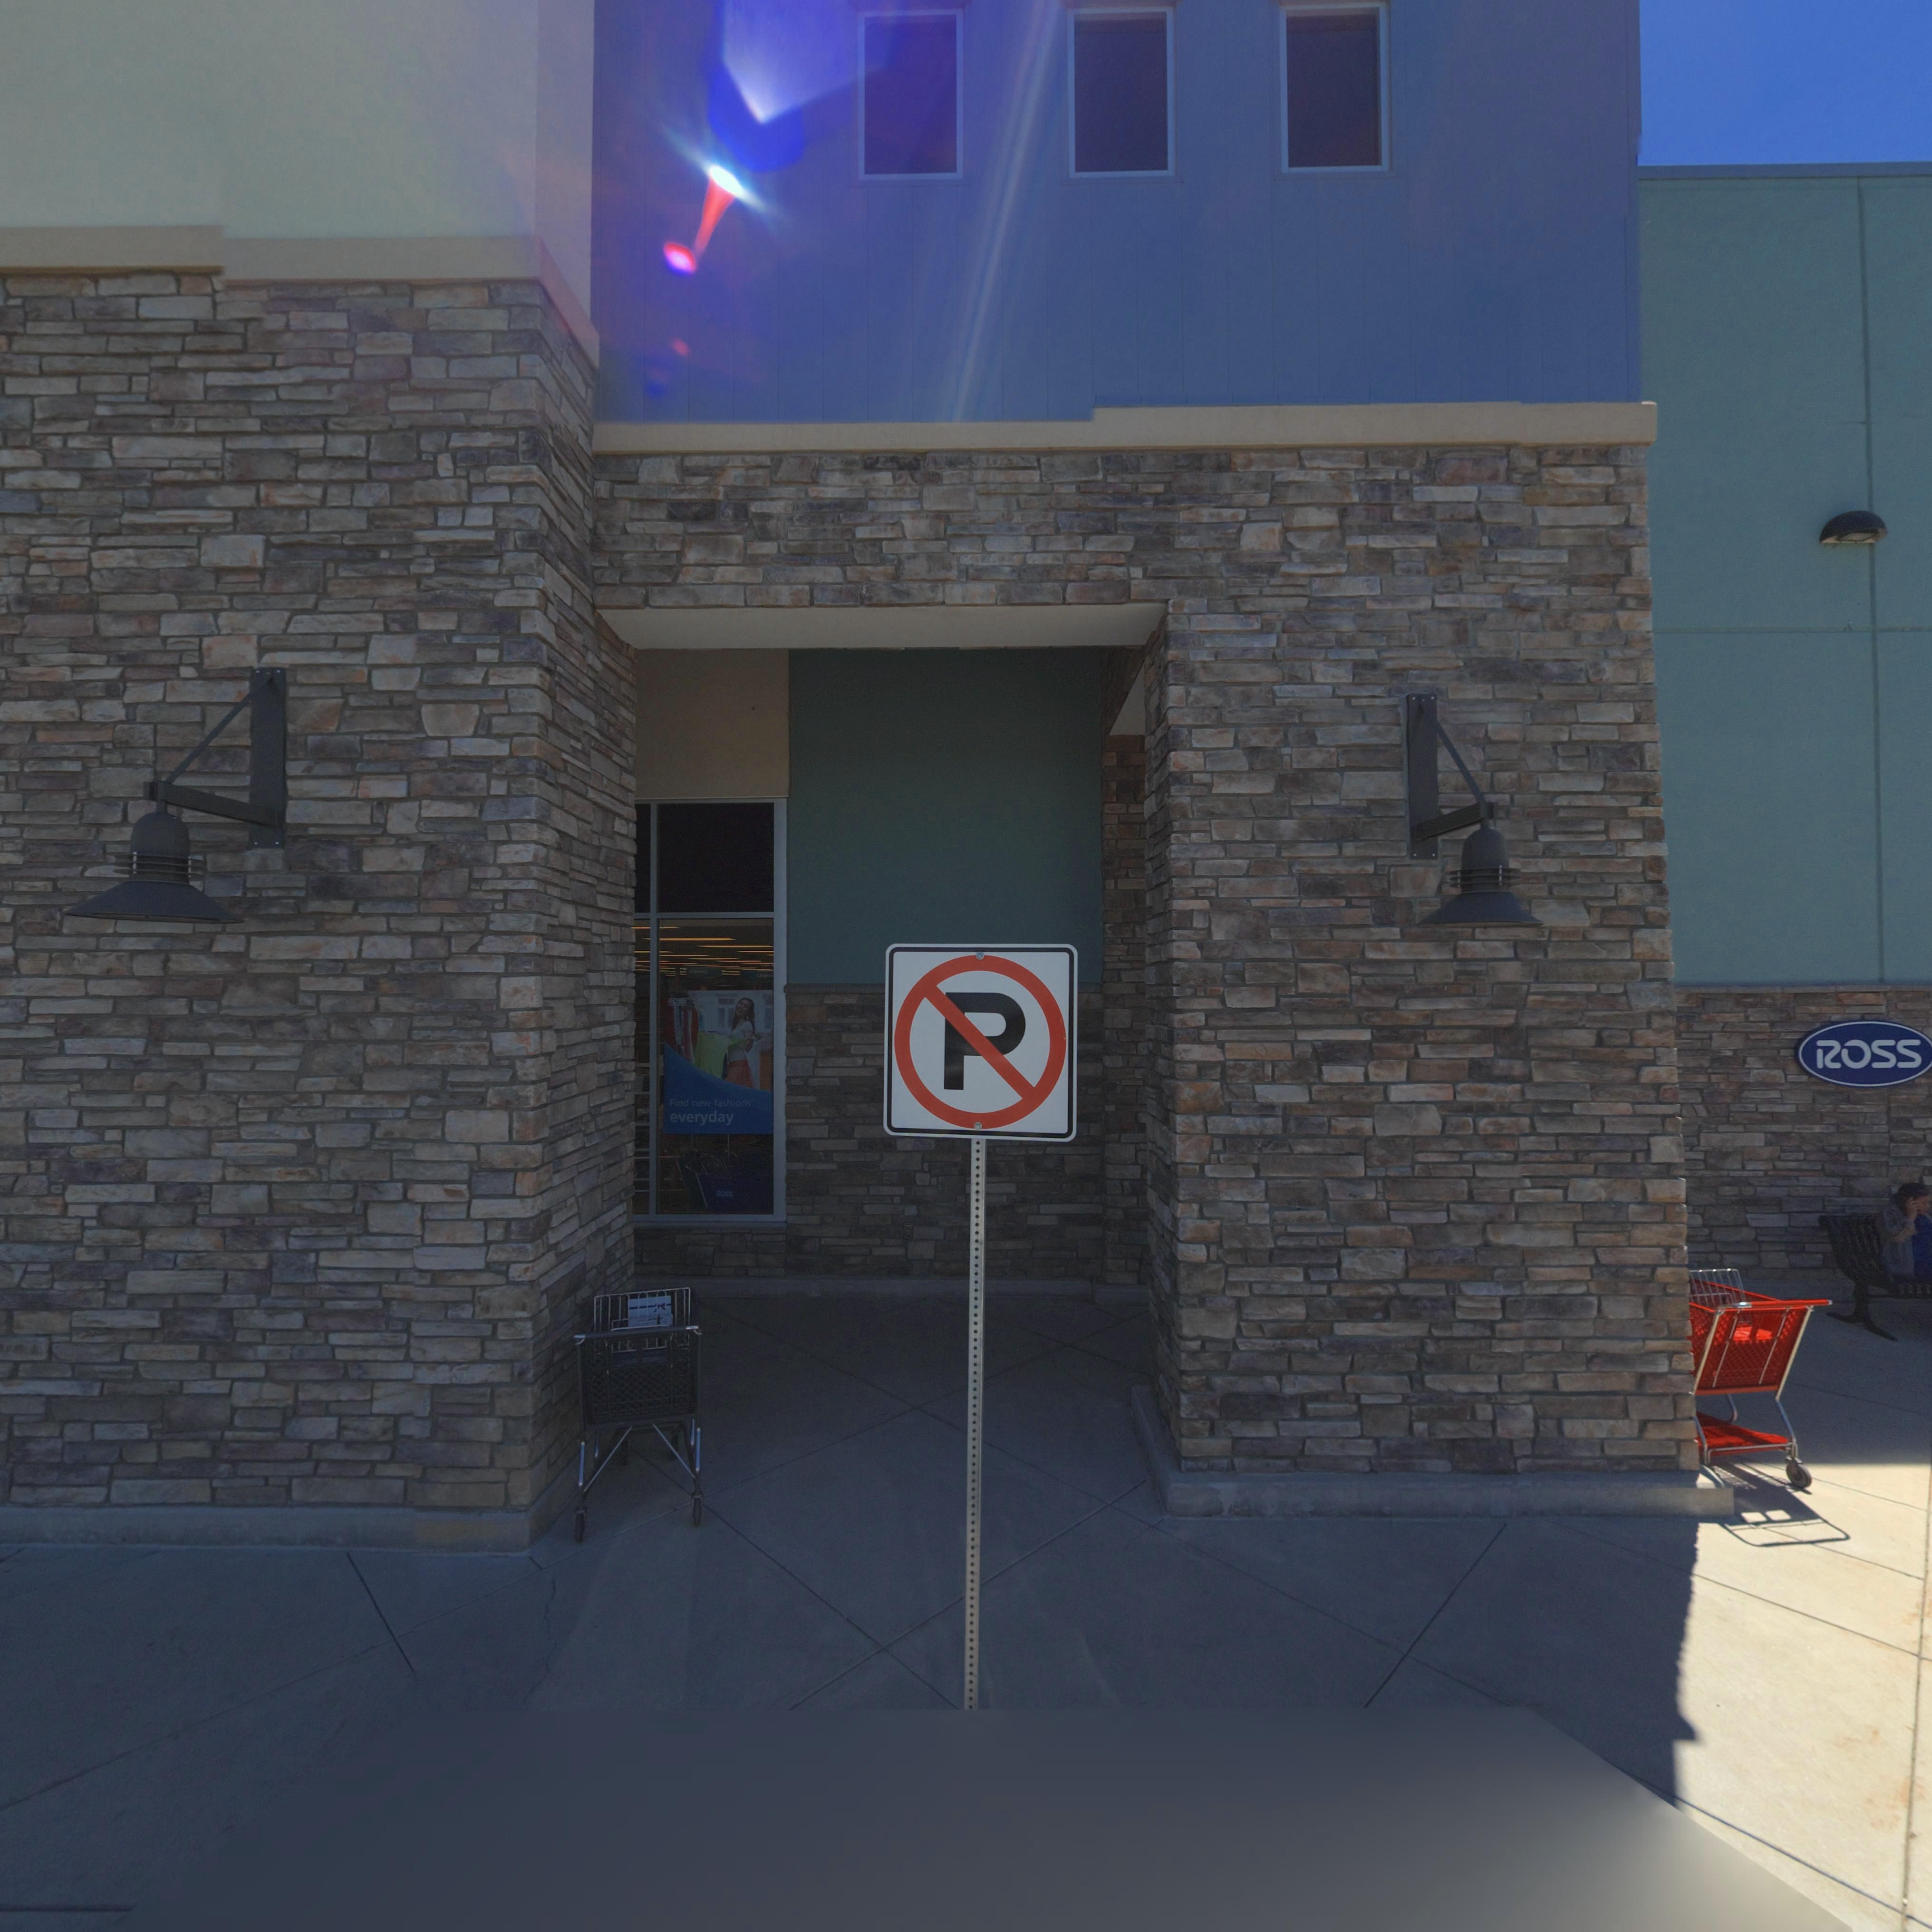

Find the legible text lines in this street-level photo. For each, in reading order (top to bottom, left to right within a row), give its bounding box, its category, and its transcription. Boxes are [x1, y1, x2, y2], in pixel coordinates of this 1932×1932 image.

[1816, 1039, 1922, 1069] BusinessName: ROSS